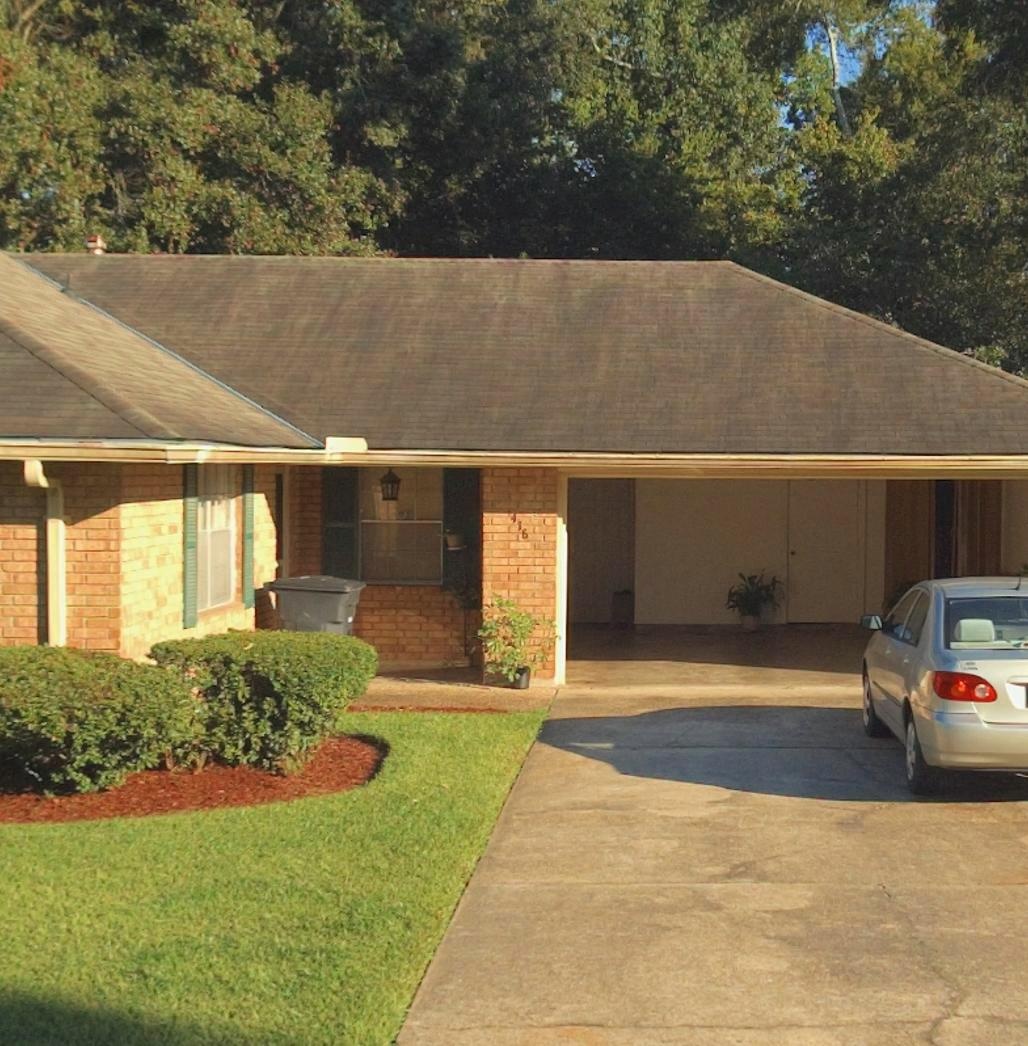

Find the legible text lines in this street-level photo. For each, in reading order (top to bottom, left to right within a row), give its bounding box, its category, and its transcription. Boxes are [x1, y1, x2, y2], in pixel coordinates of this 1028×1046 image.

[503, 504, 531, 540] StreetNumber: 416